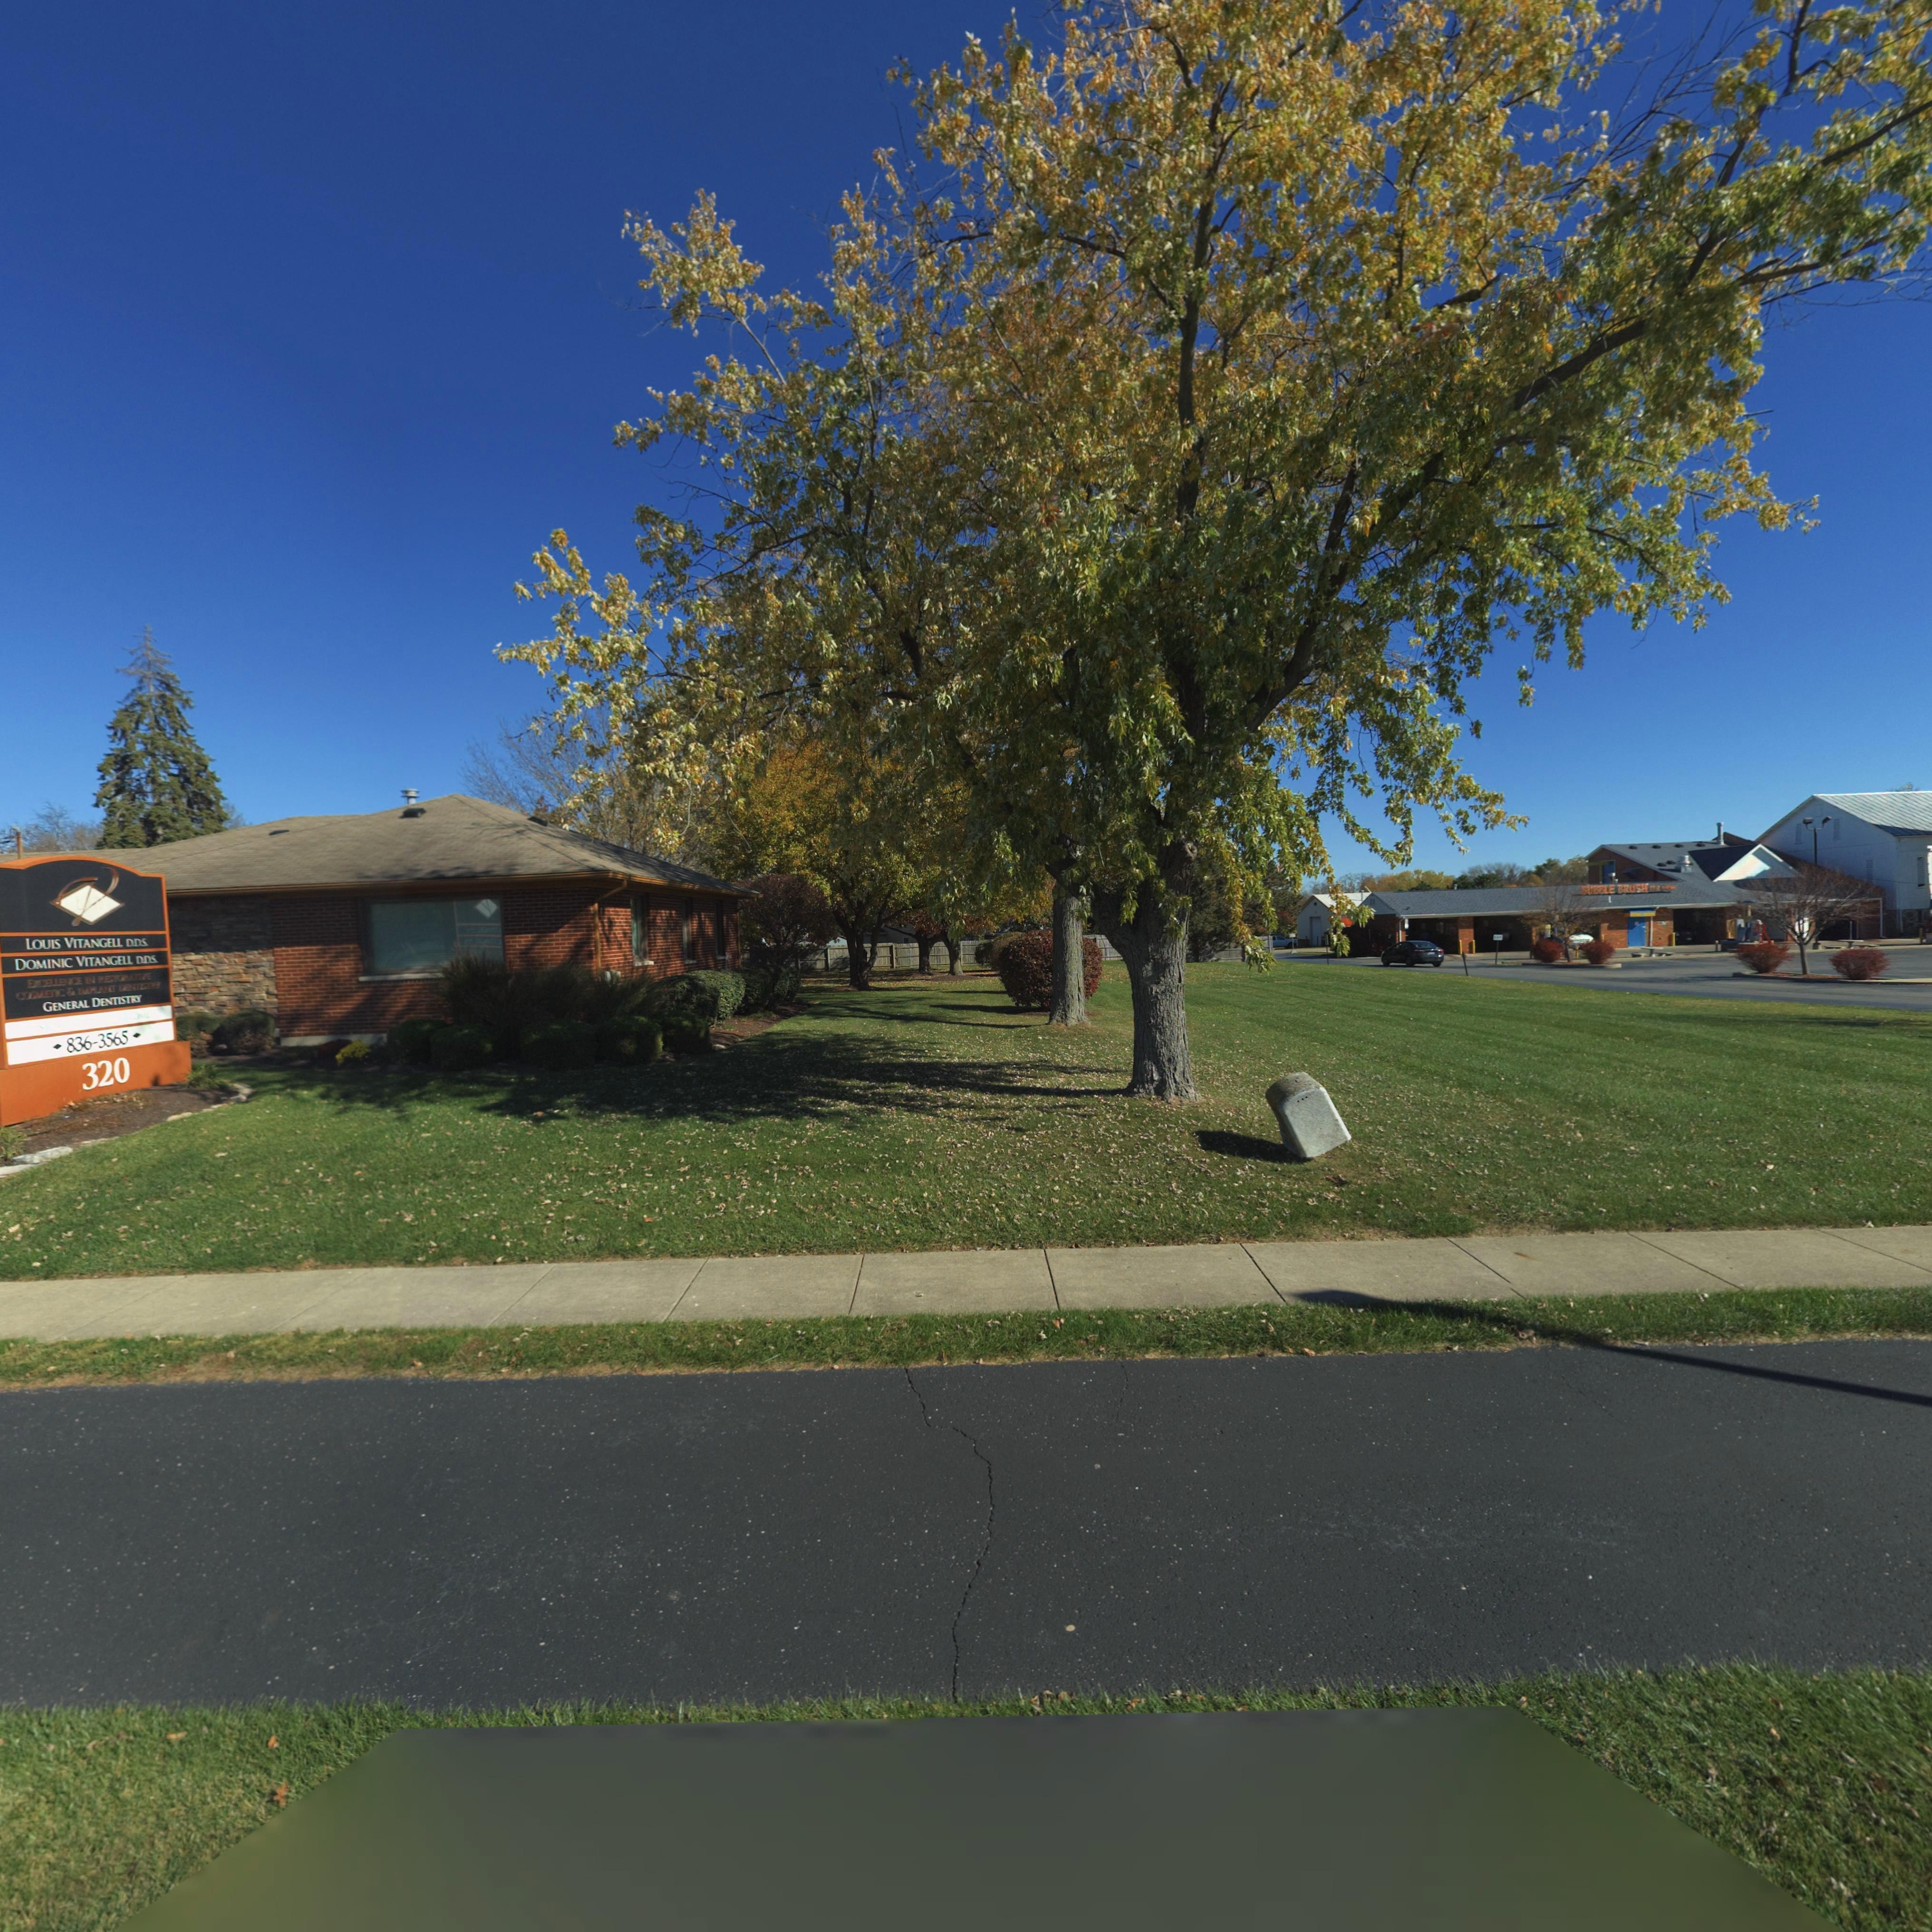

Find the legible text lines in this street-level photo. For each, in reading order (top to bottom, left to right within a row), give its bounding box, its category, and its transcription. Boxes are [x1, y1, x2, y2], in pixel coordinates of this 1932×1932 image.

[1580, 883, 1649, 896] BusinessName: BUBBLE BRUSH
[24, 936, 151, 951] None: LOUIS VITANGELL, DDS
[12, 954, 159, 972] None: DOMINIC VITANGELL, DDS.
[41, 993, 144, 1014] None: GENERAL DENTISTRY
[66, 1029, 129, 1053] None: 836-3565
[79, 1055, 134, 1093] StreetNumber: 320